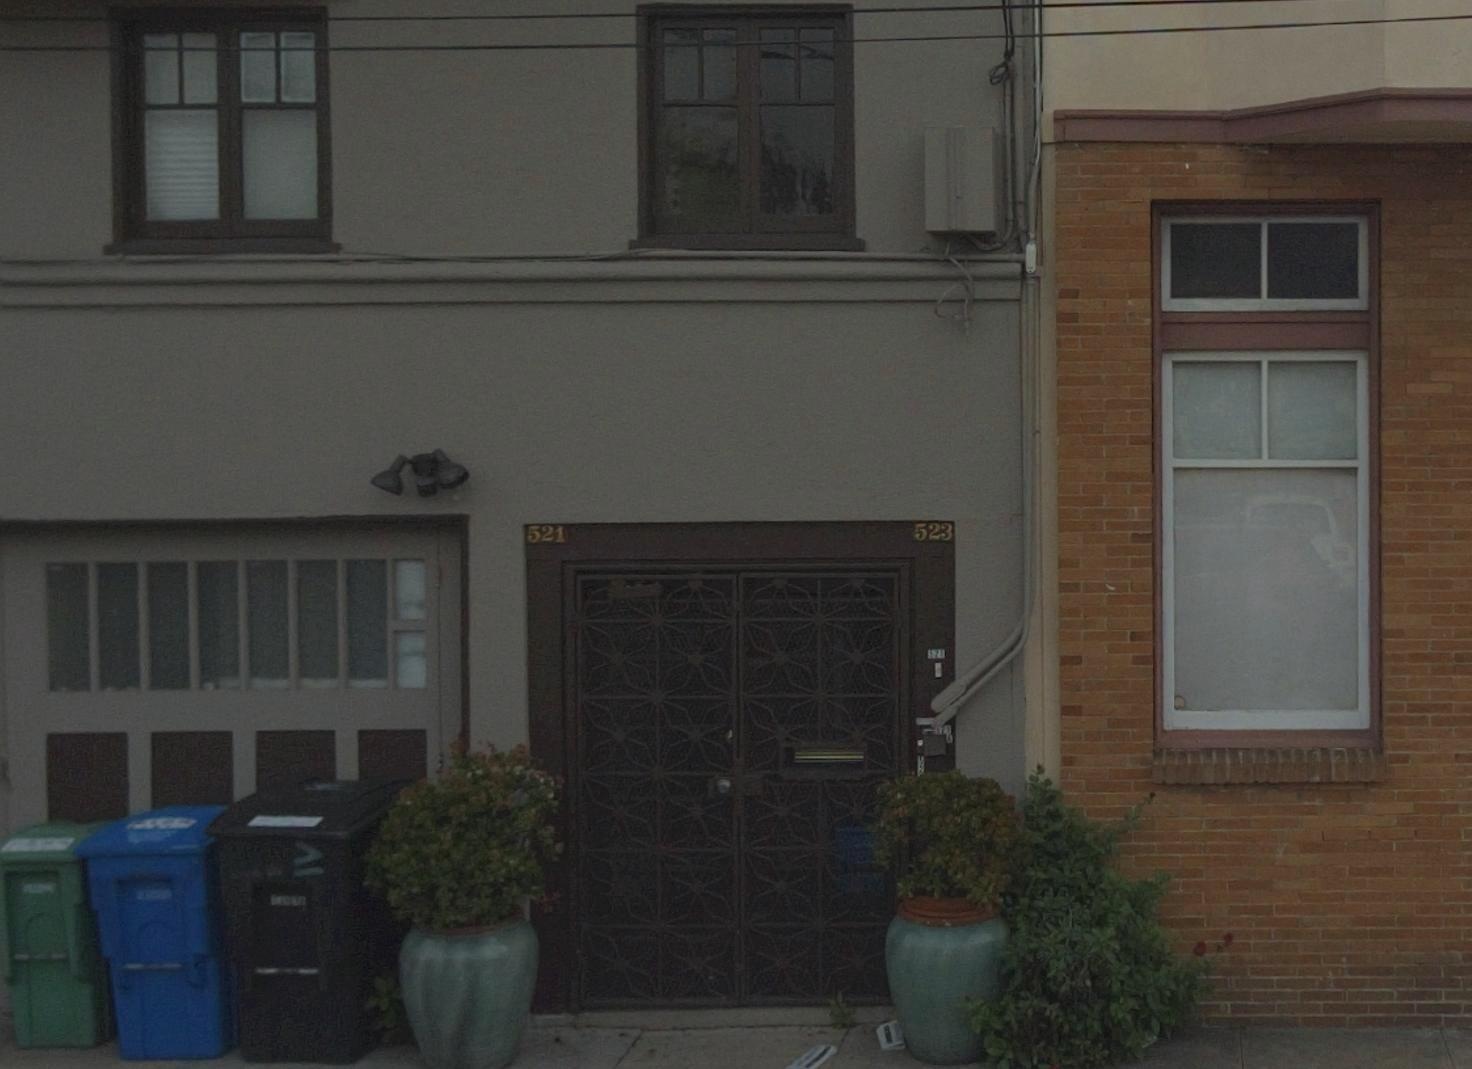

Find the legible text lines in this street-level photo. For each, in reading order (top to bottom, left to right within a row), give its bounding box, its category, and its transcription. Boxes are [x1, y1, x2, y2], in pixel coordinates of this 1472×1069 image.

[527, 523, 566, 544] StreetNumber: 521
[913, 521, 955, 542] StreetNumber: 523